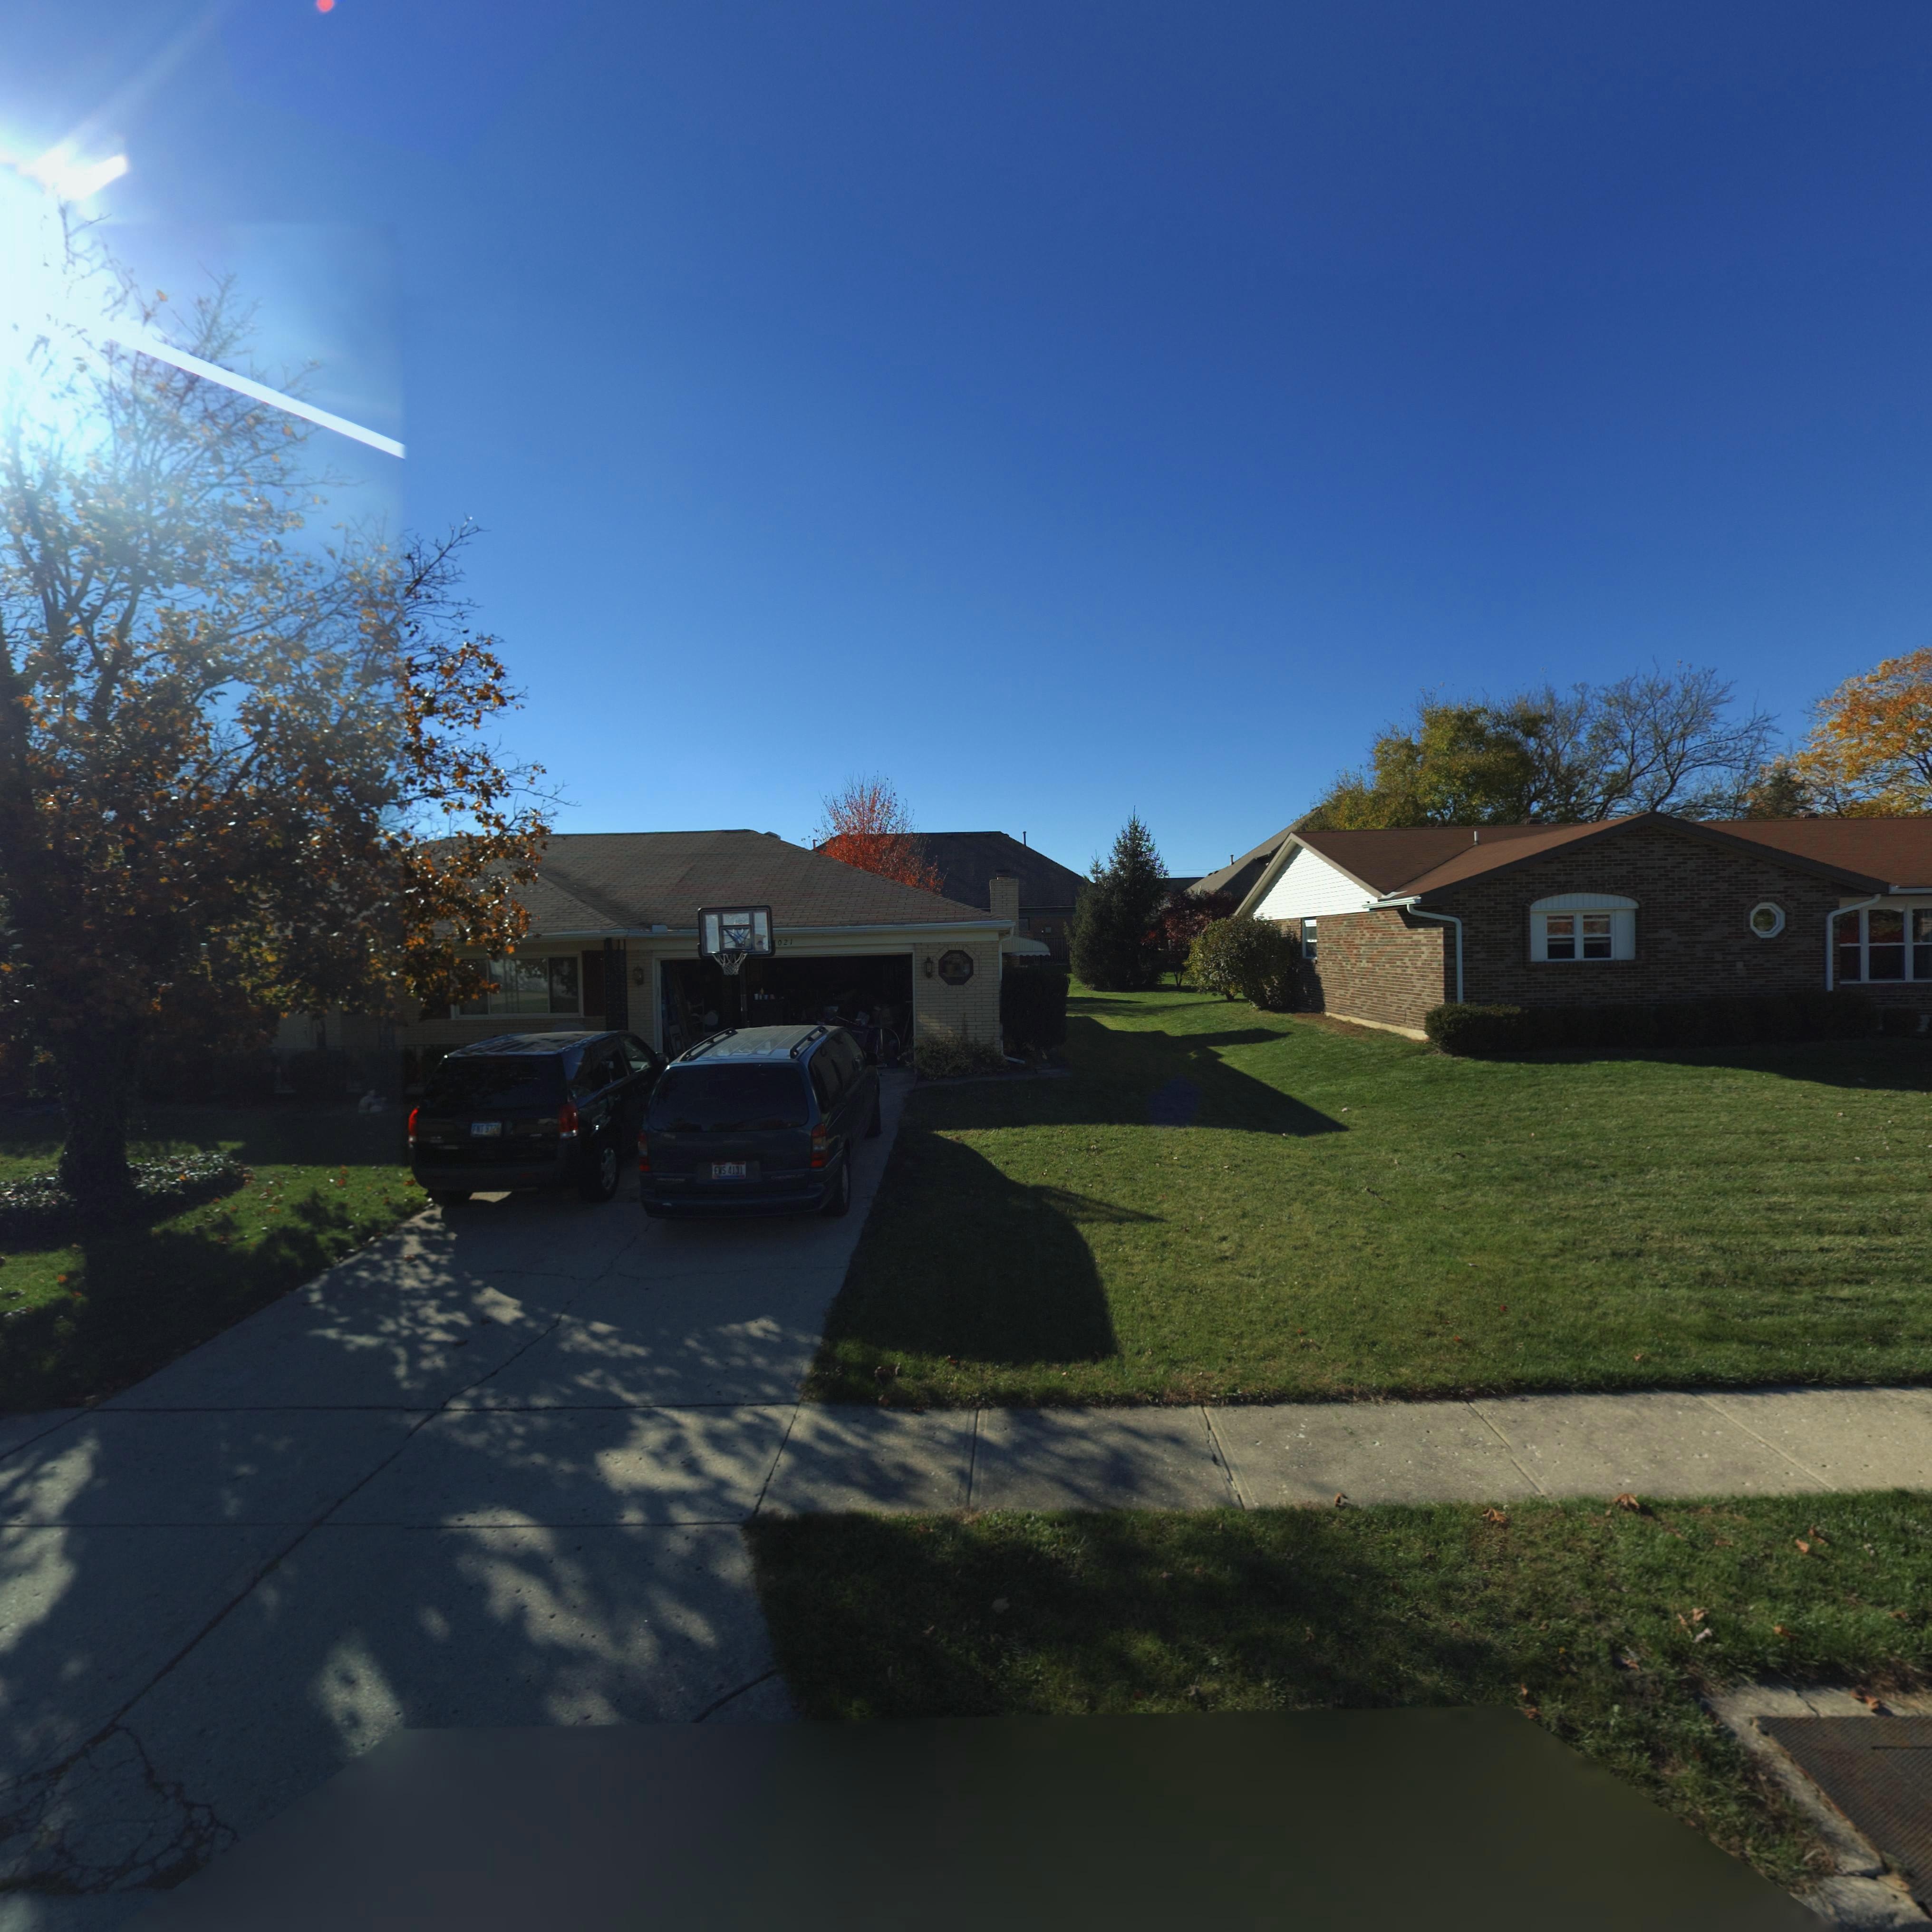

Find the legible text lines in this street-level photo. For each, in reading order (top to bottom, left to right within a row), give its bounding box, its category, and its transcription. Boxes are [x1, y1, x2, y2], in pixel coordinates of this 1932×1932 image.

[777, 938, 793, 946] StreetNumber: 021